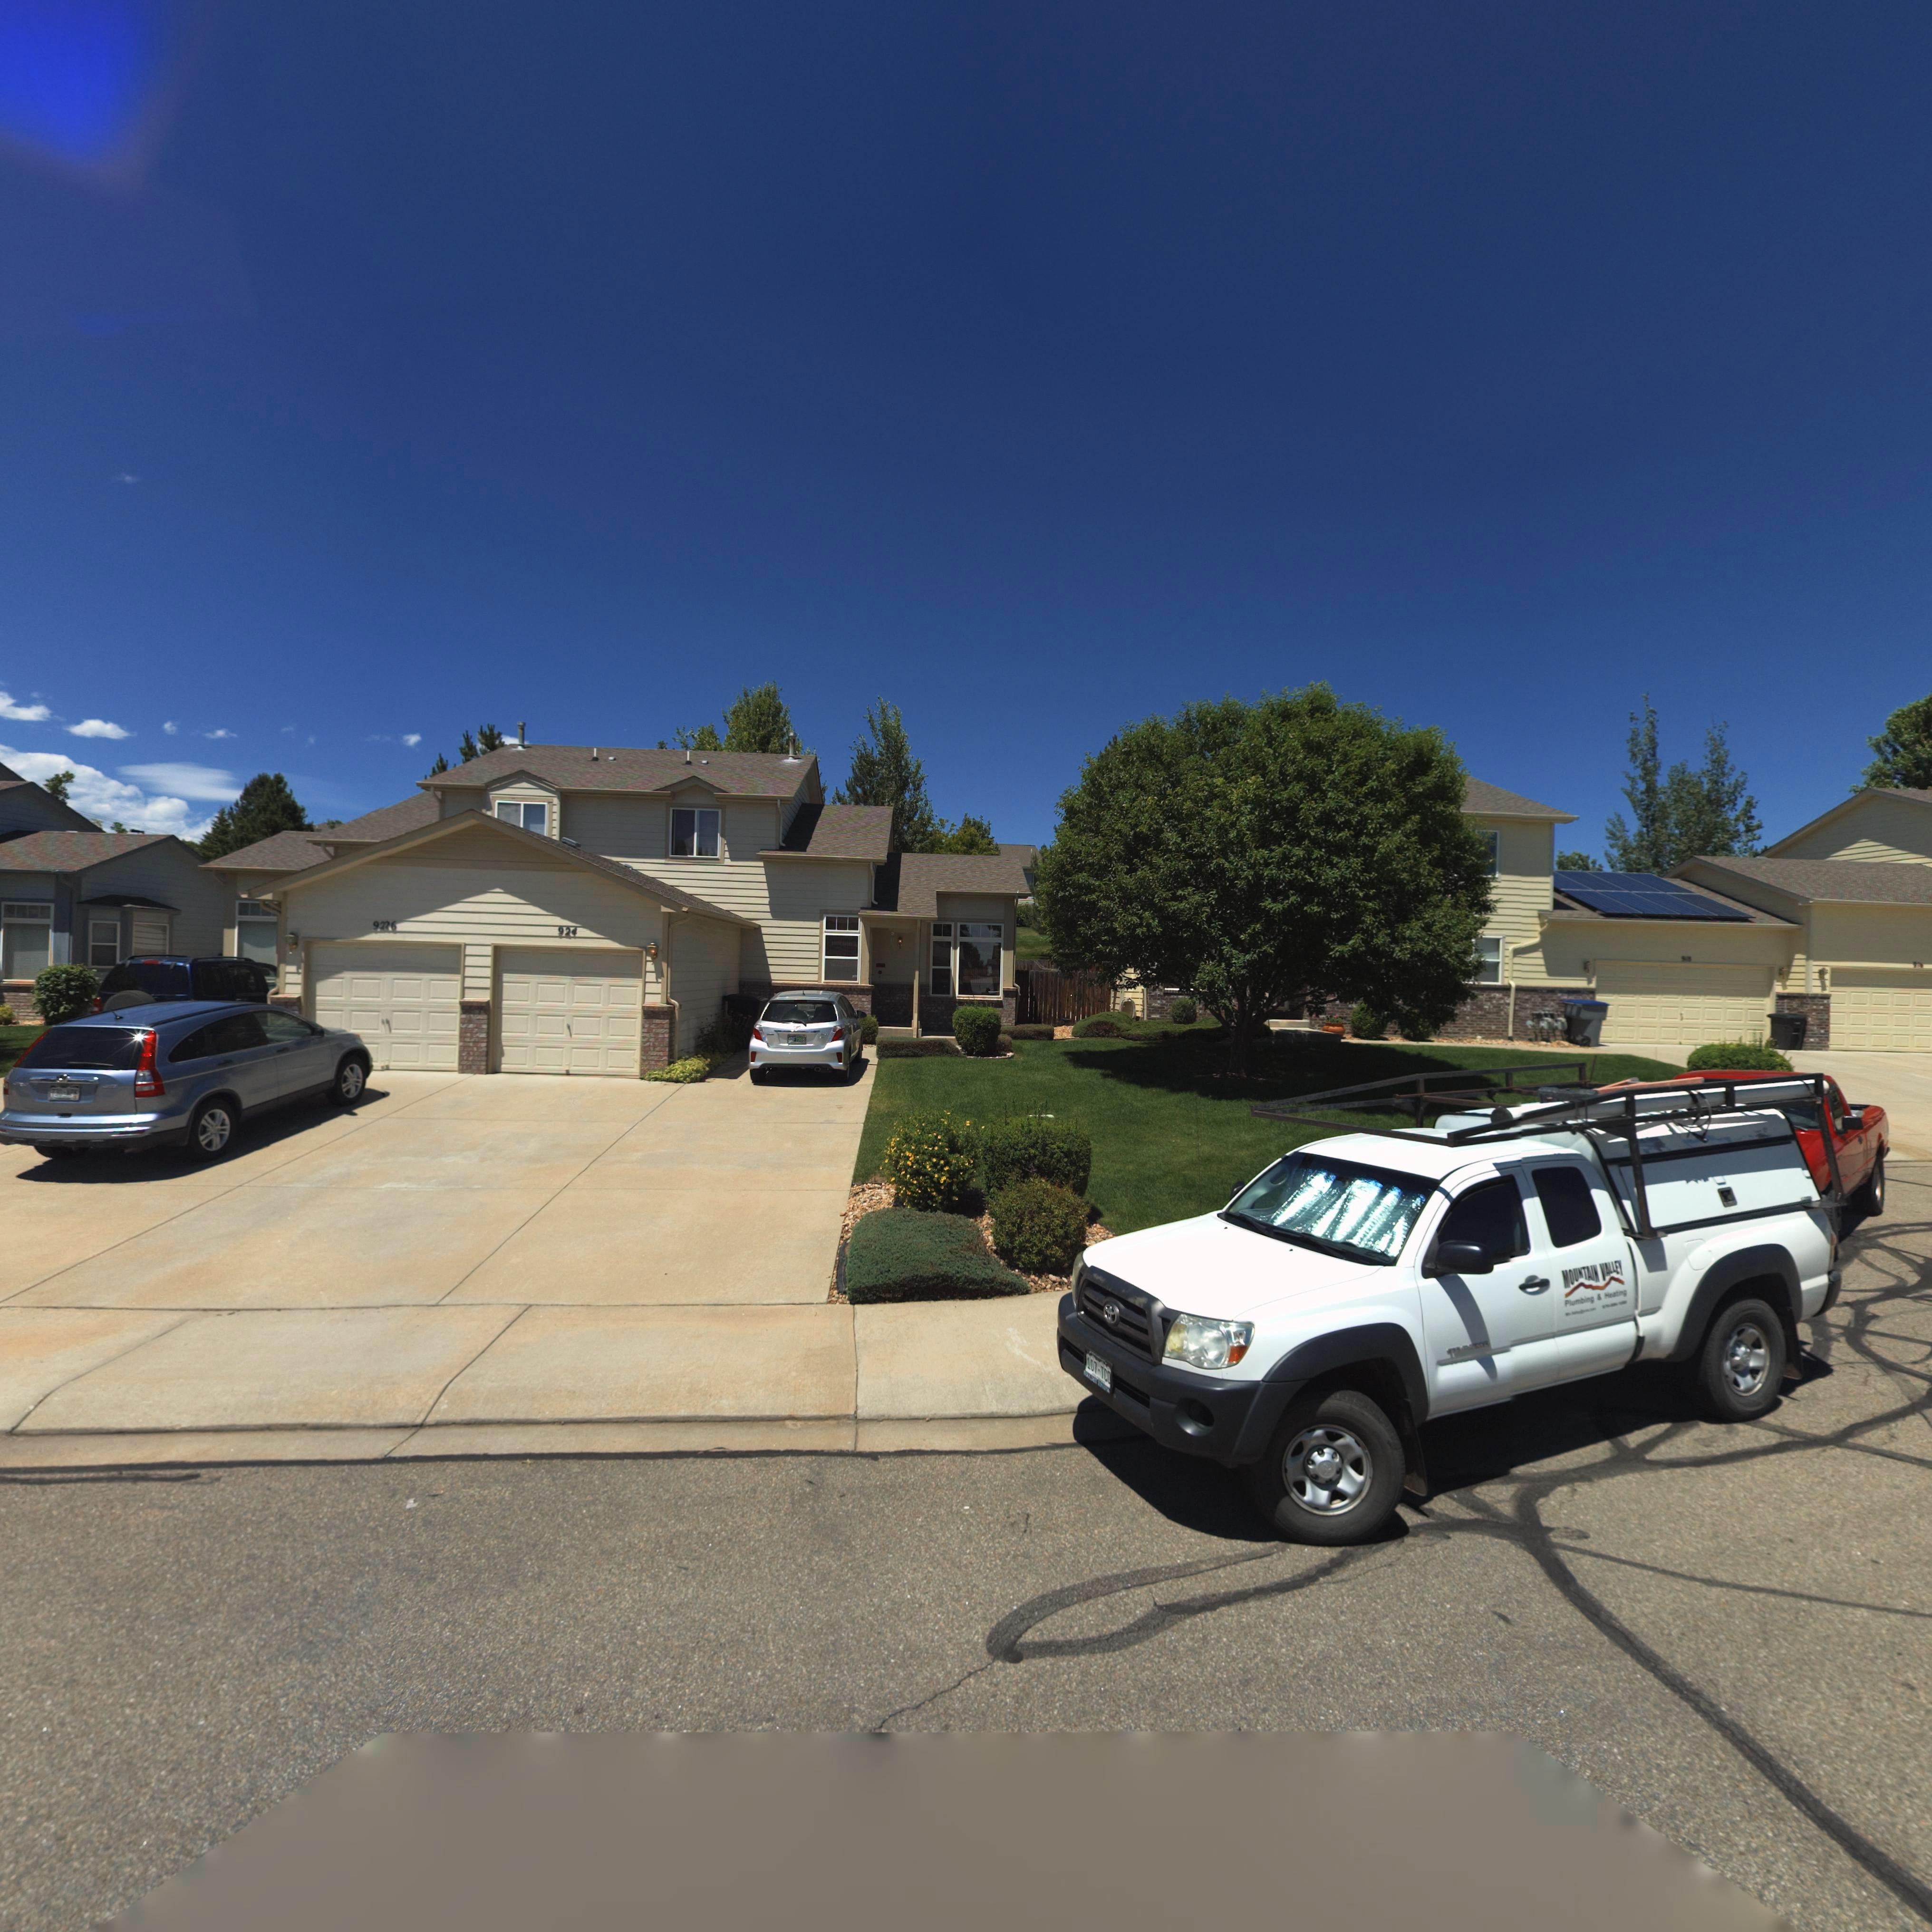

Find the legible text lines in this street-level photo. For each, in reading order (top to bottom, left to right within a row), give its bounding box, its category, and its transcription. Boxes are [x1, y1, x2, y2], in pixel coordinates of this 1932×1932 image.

[372, 920, 397, 931] None: 92*6
[558, 926, 577, 936] StreetNumber: 924